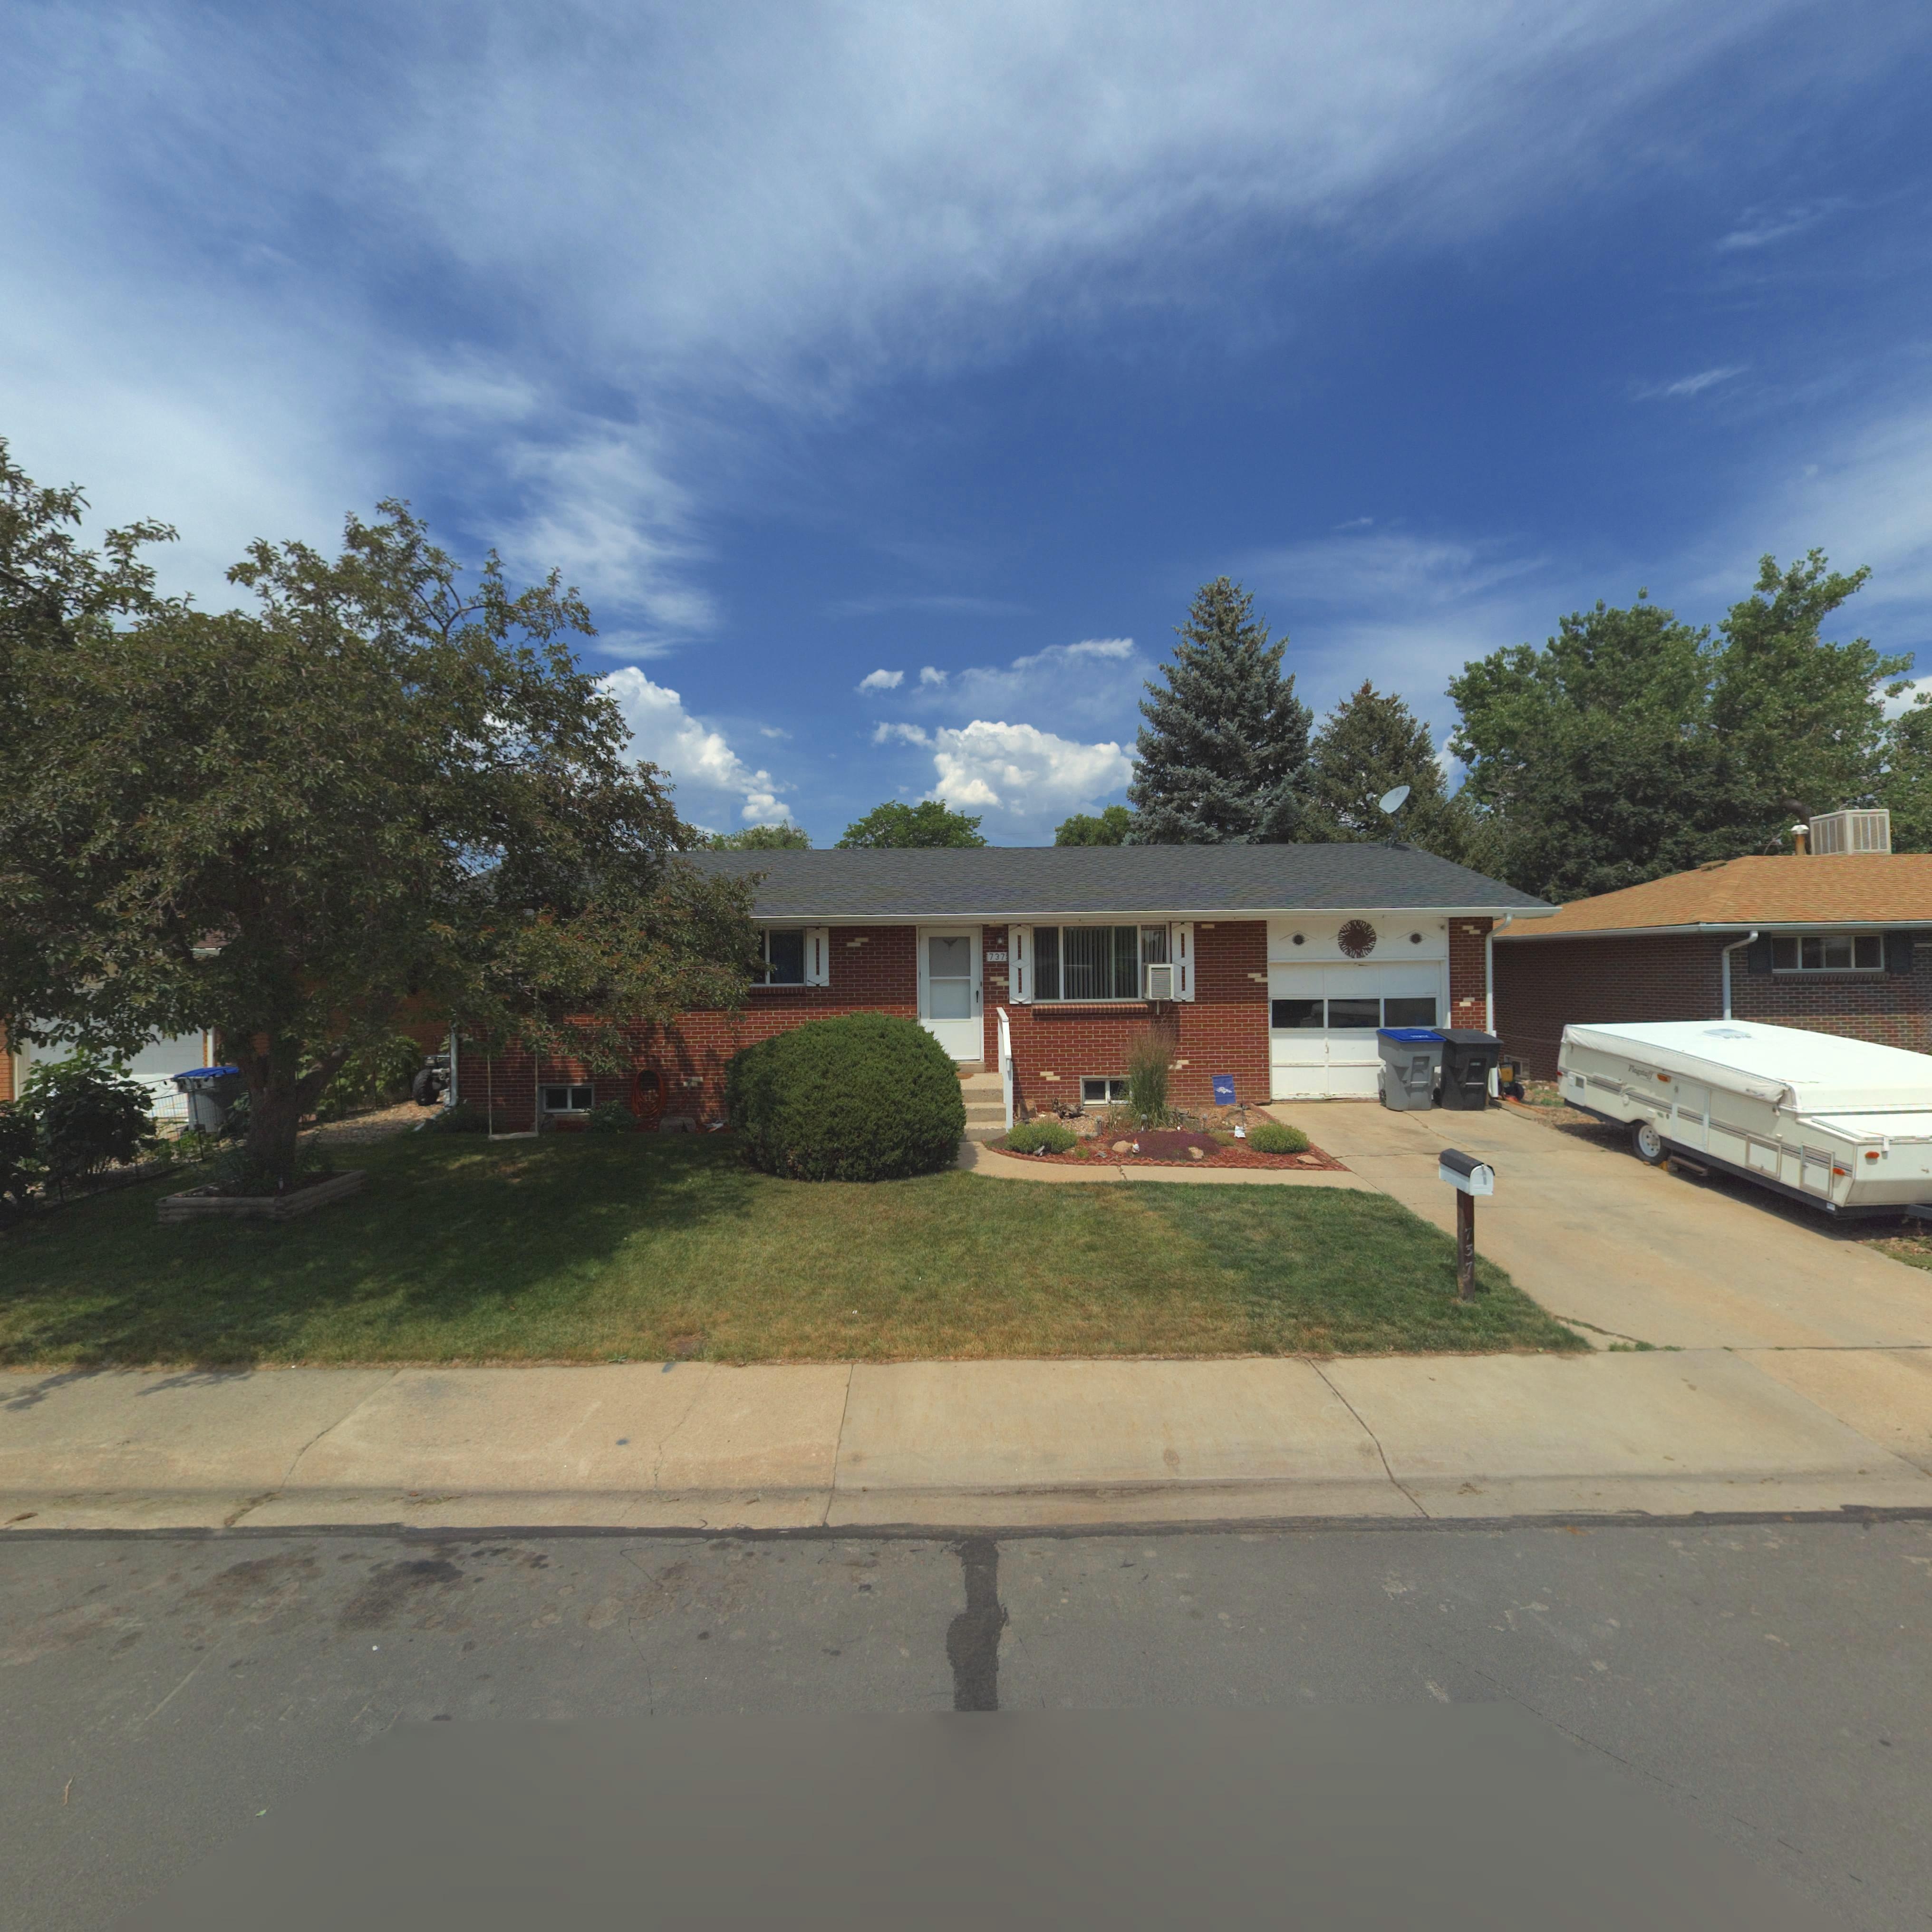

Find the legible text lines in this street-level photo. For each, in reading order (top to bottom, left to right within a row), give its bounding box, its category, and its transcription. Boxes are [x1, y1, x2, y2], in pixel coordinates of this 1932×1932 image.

[989, 953, 1005, 960] StreetNumber: 737
[1464, 1227, 1473, 1274] StreetNumber: 737